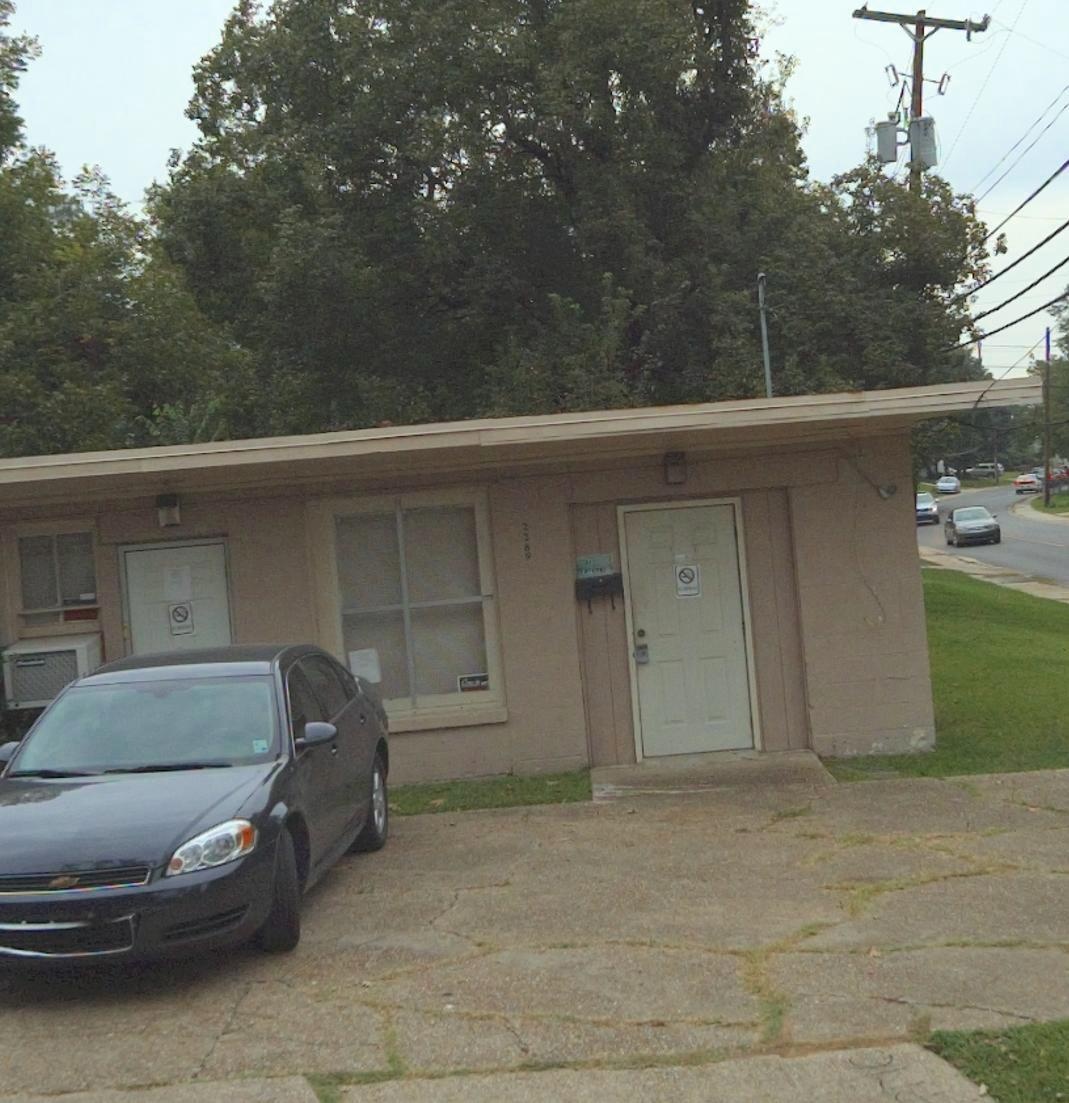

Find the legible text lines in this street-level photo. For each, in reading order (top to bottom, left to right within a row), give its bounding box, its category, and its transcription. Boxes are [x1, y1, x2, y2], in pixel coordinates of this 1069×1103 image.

[521, 521, 533, 562] StreetNumber: 2289